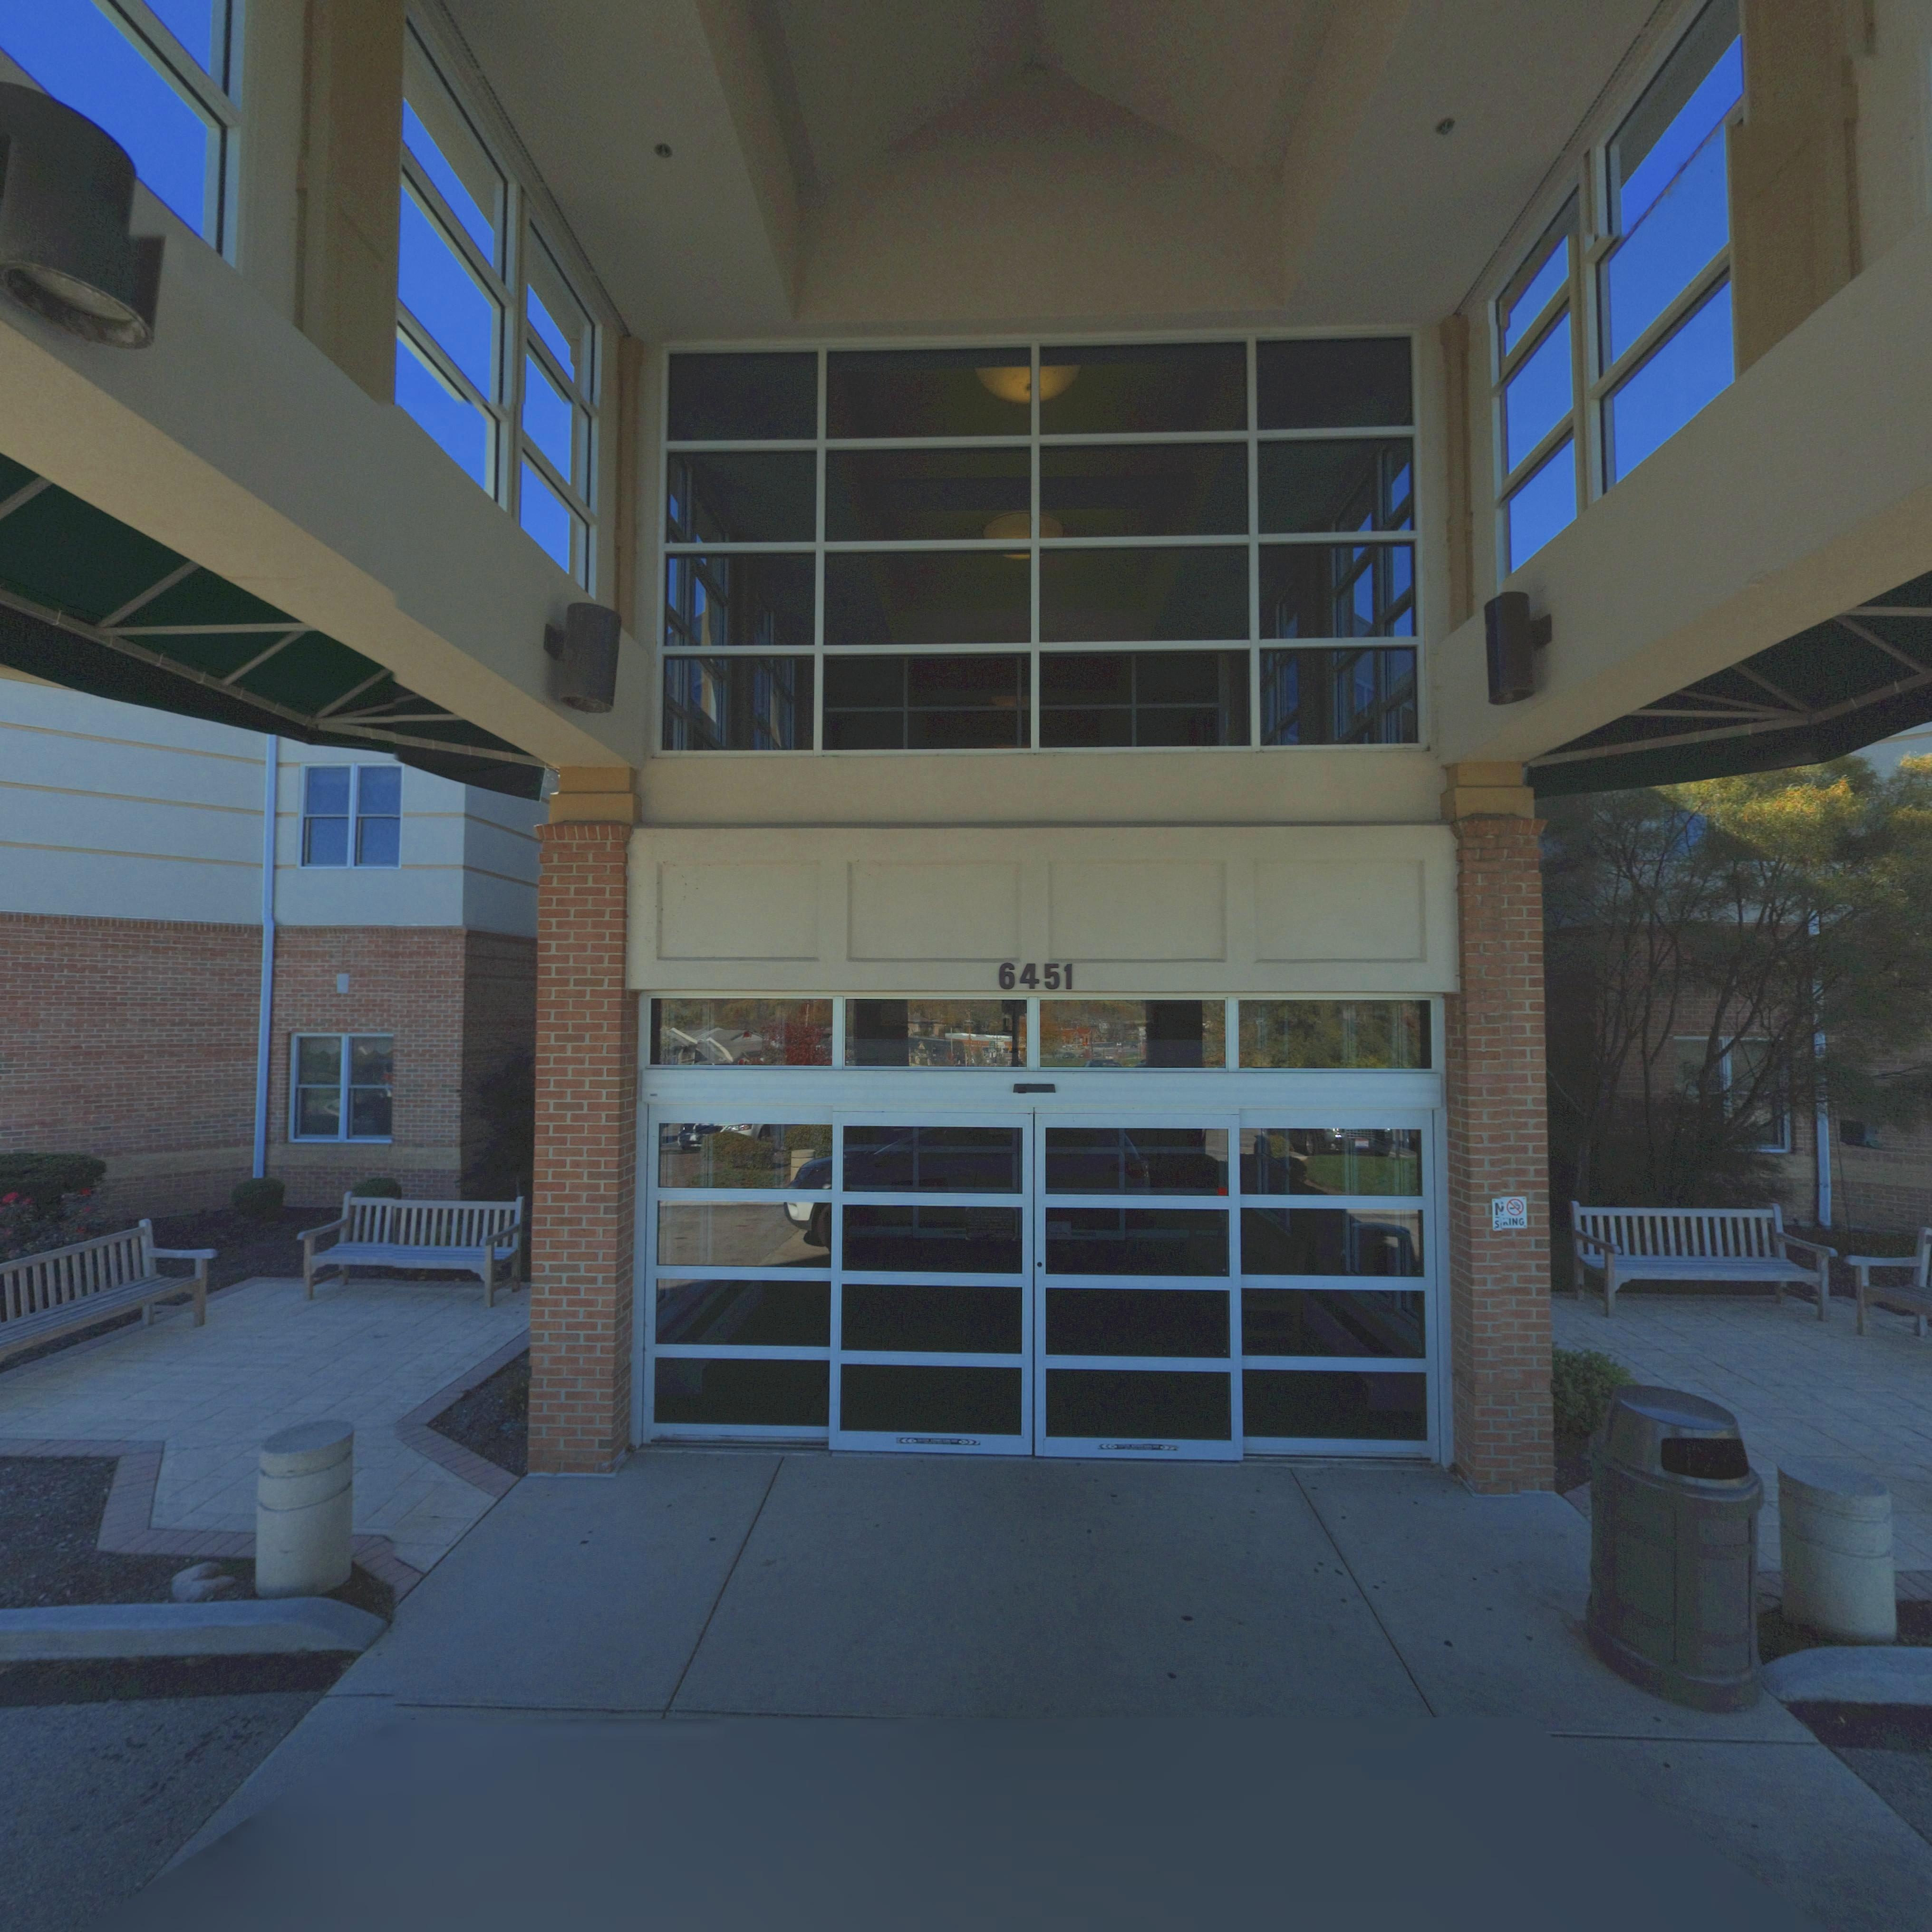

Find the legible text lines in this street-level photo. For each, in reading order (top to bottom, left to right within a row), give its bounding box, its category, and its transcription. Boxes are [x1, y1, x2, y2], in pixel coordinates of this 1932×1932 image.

[998, 962, 1073, 991] StreetNumber: 6451
[1494, 1220, 1500, 1228] None: S
[1508, 1217, 1525, 1226] None: ING